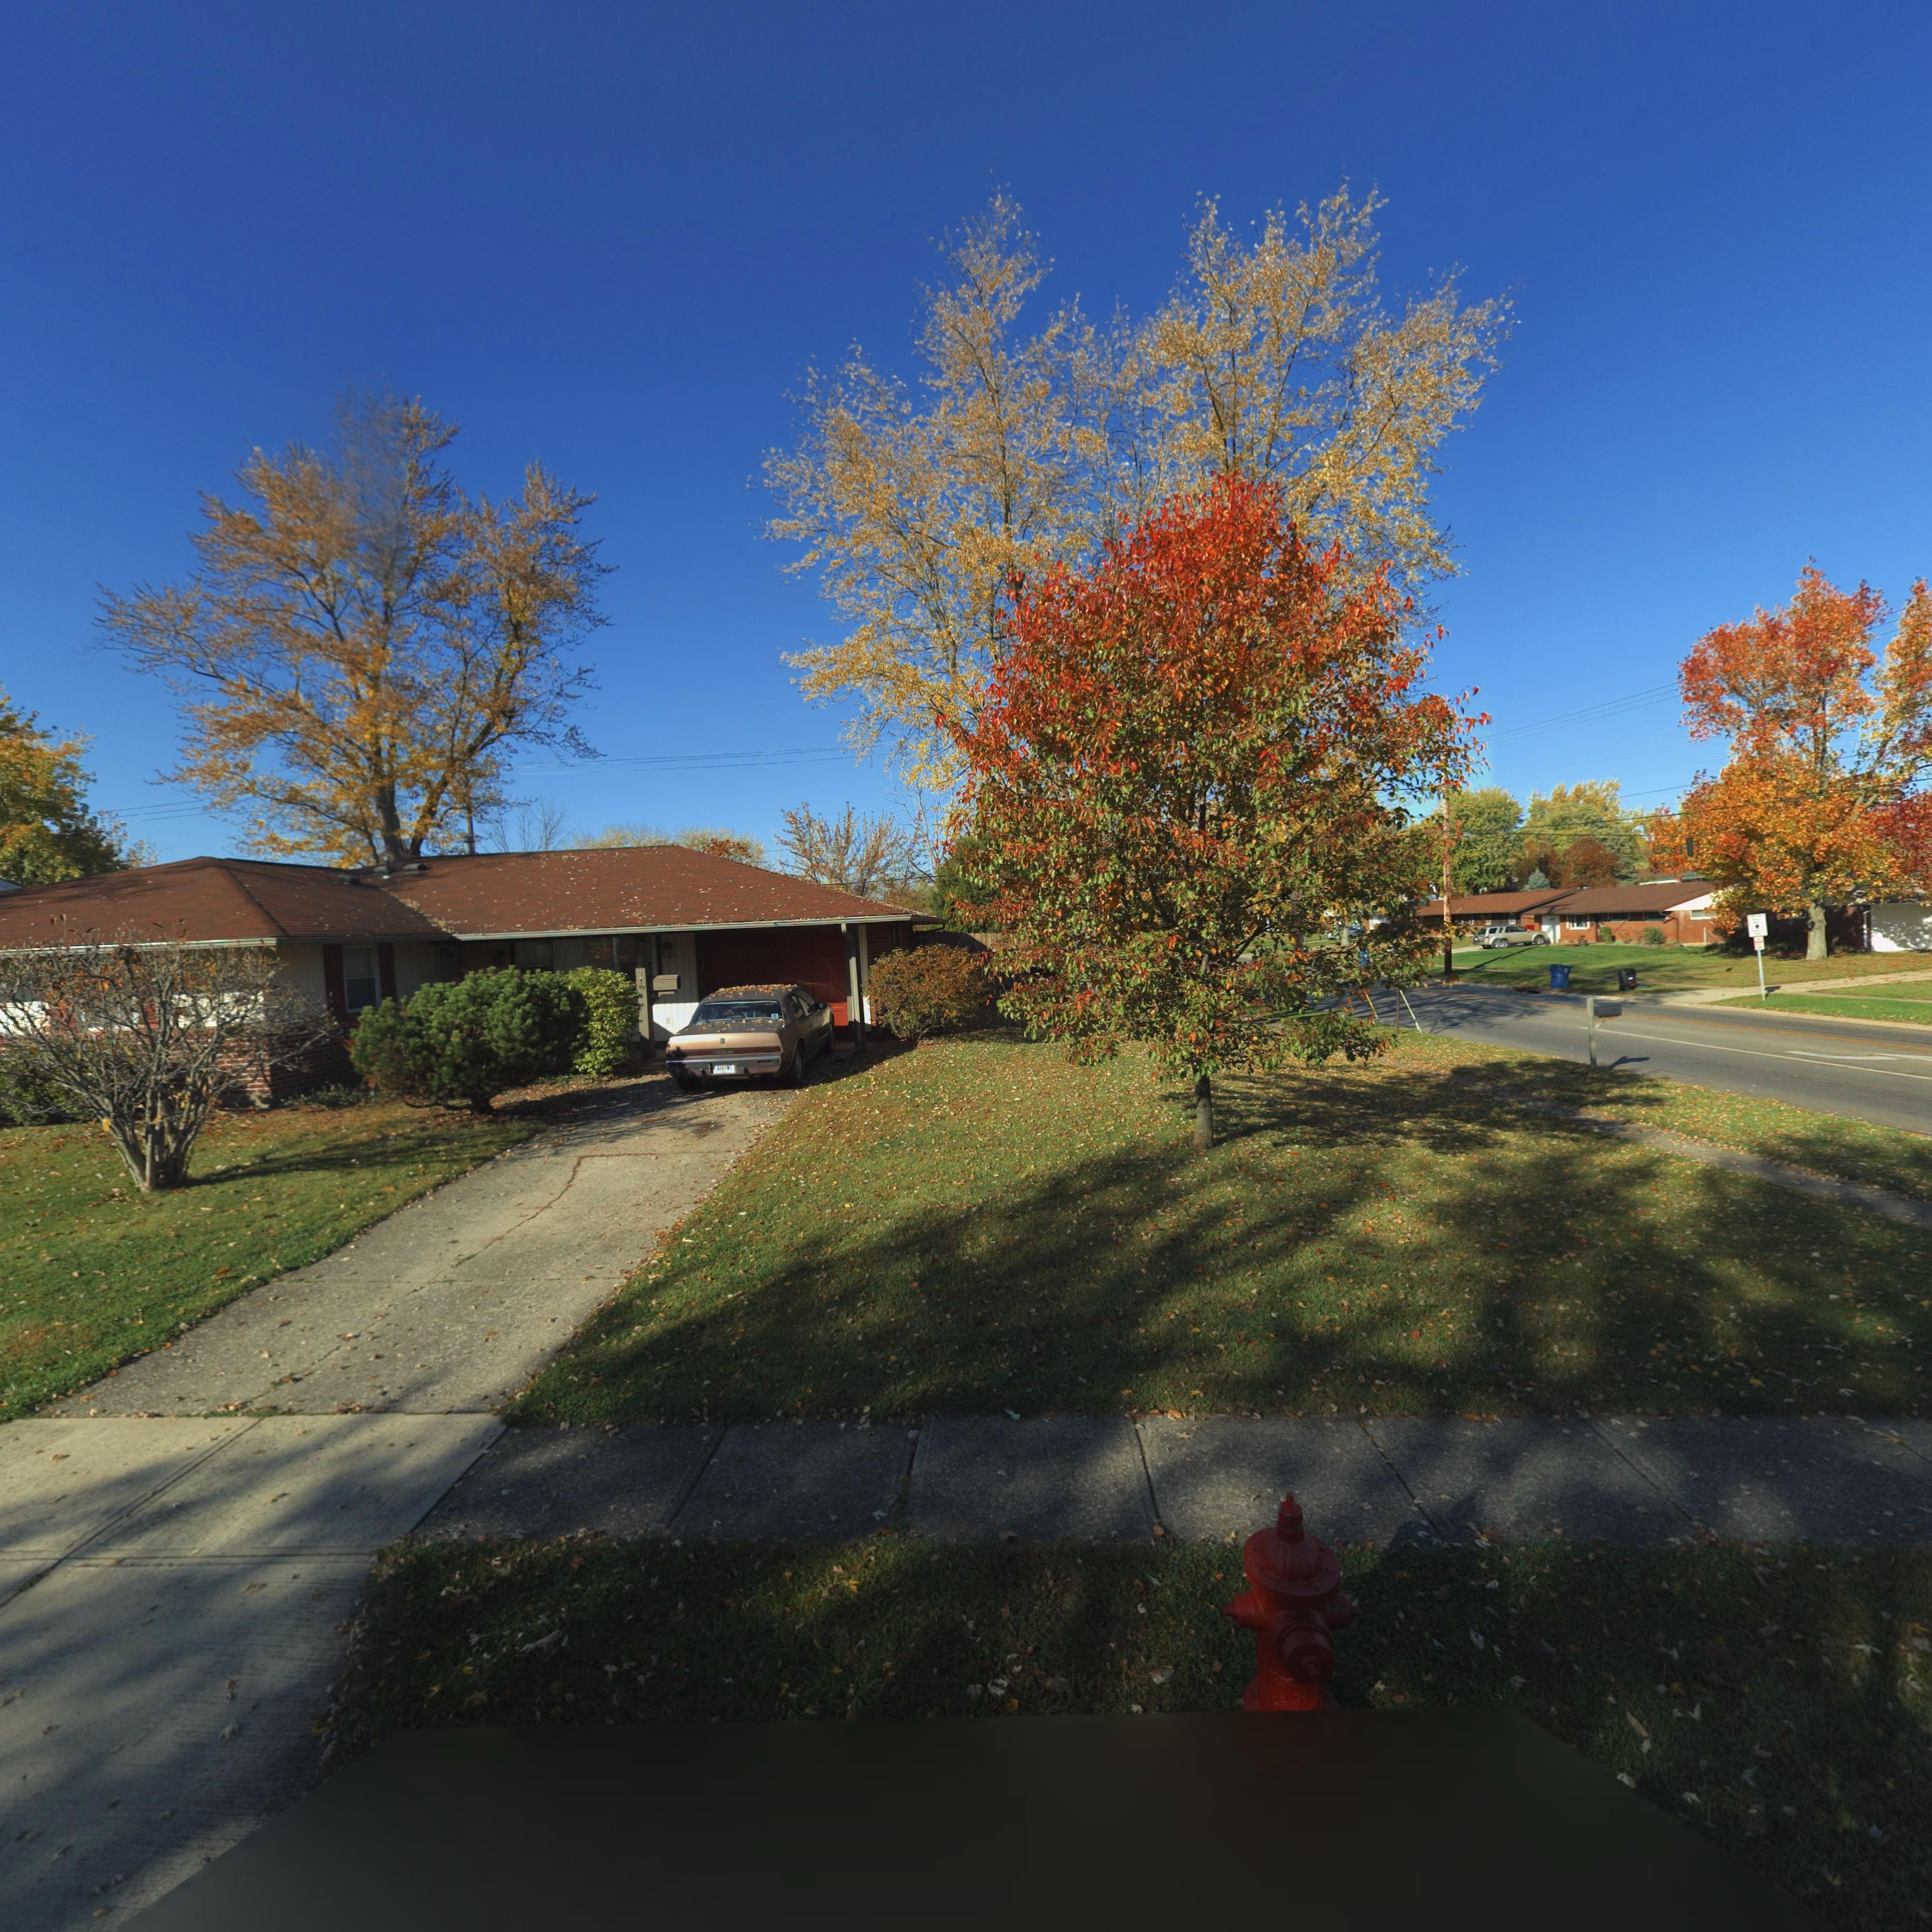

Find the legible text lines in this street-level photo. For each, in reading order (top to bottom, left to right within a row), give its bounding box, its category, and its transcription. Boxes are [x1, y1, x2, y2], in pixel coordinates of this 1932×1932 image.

[636, 955, 645, 985] StreetNumber: 7*7*